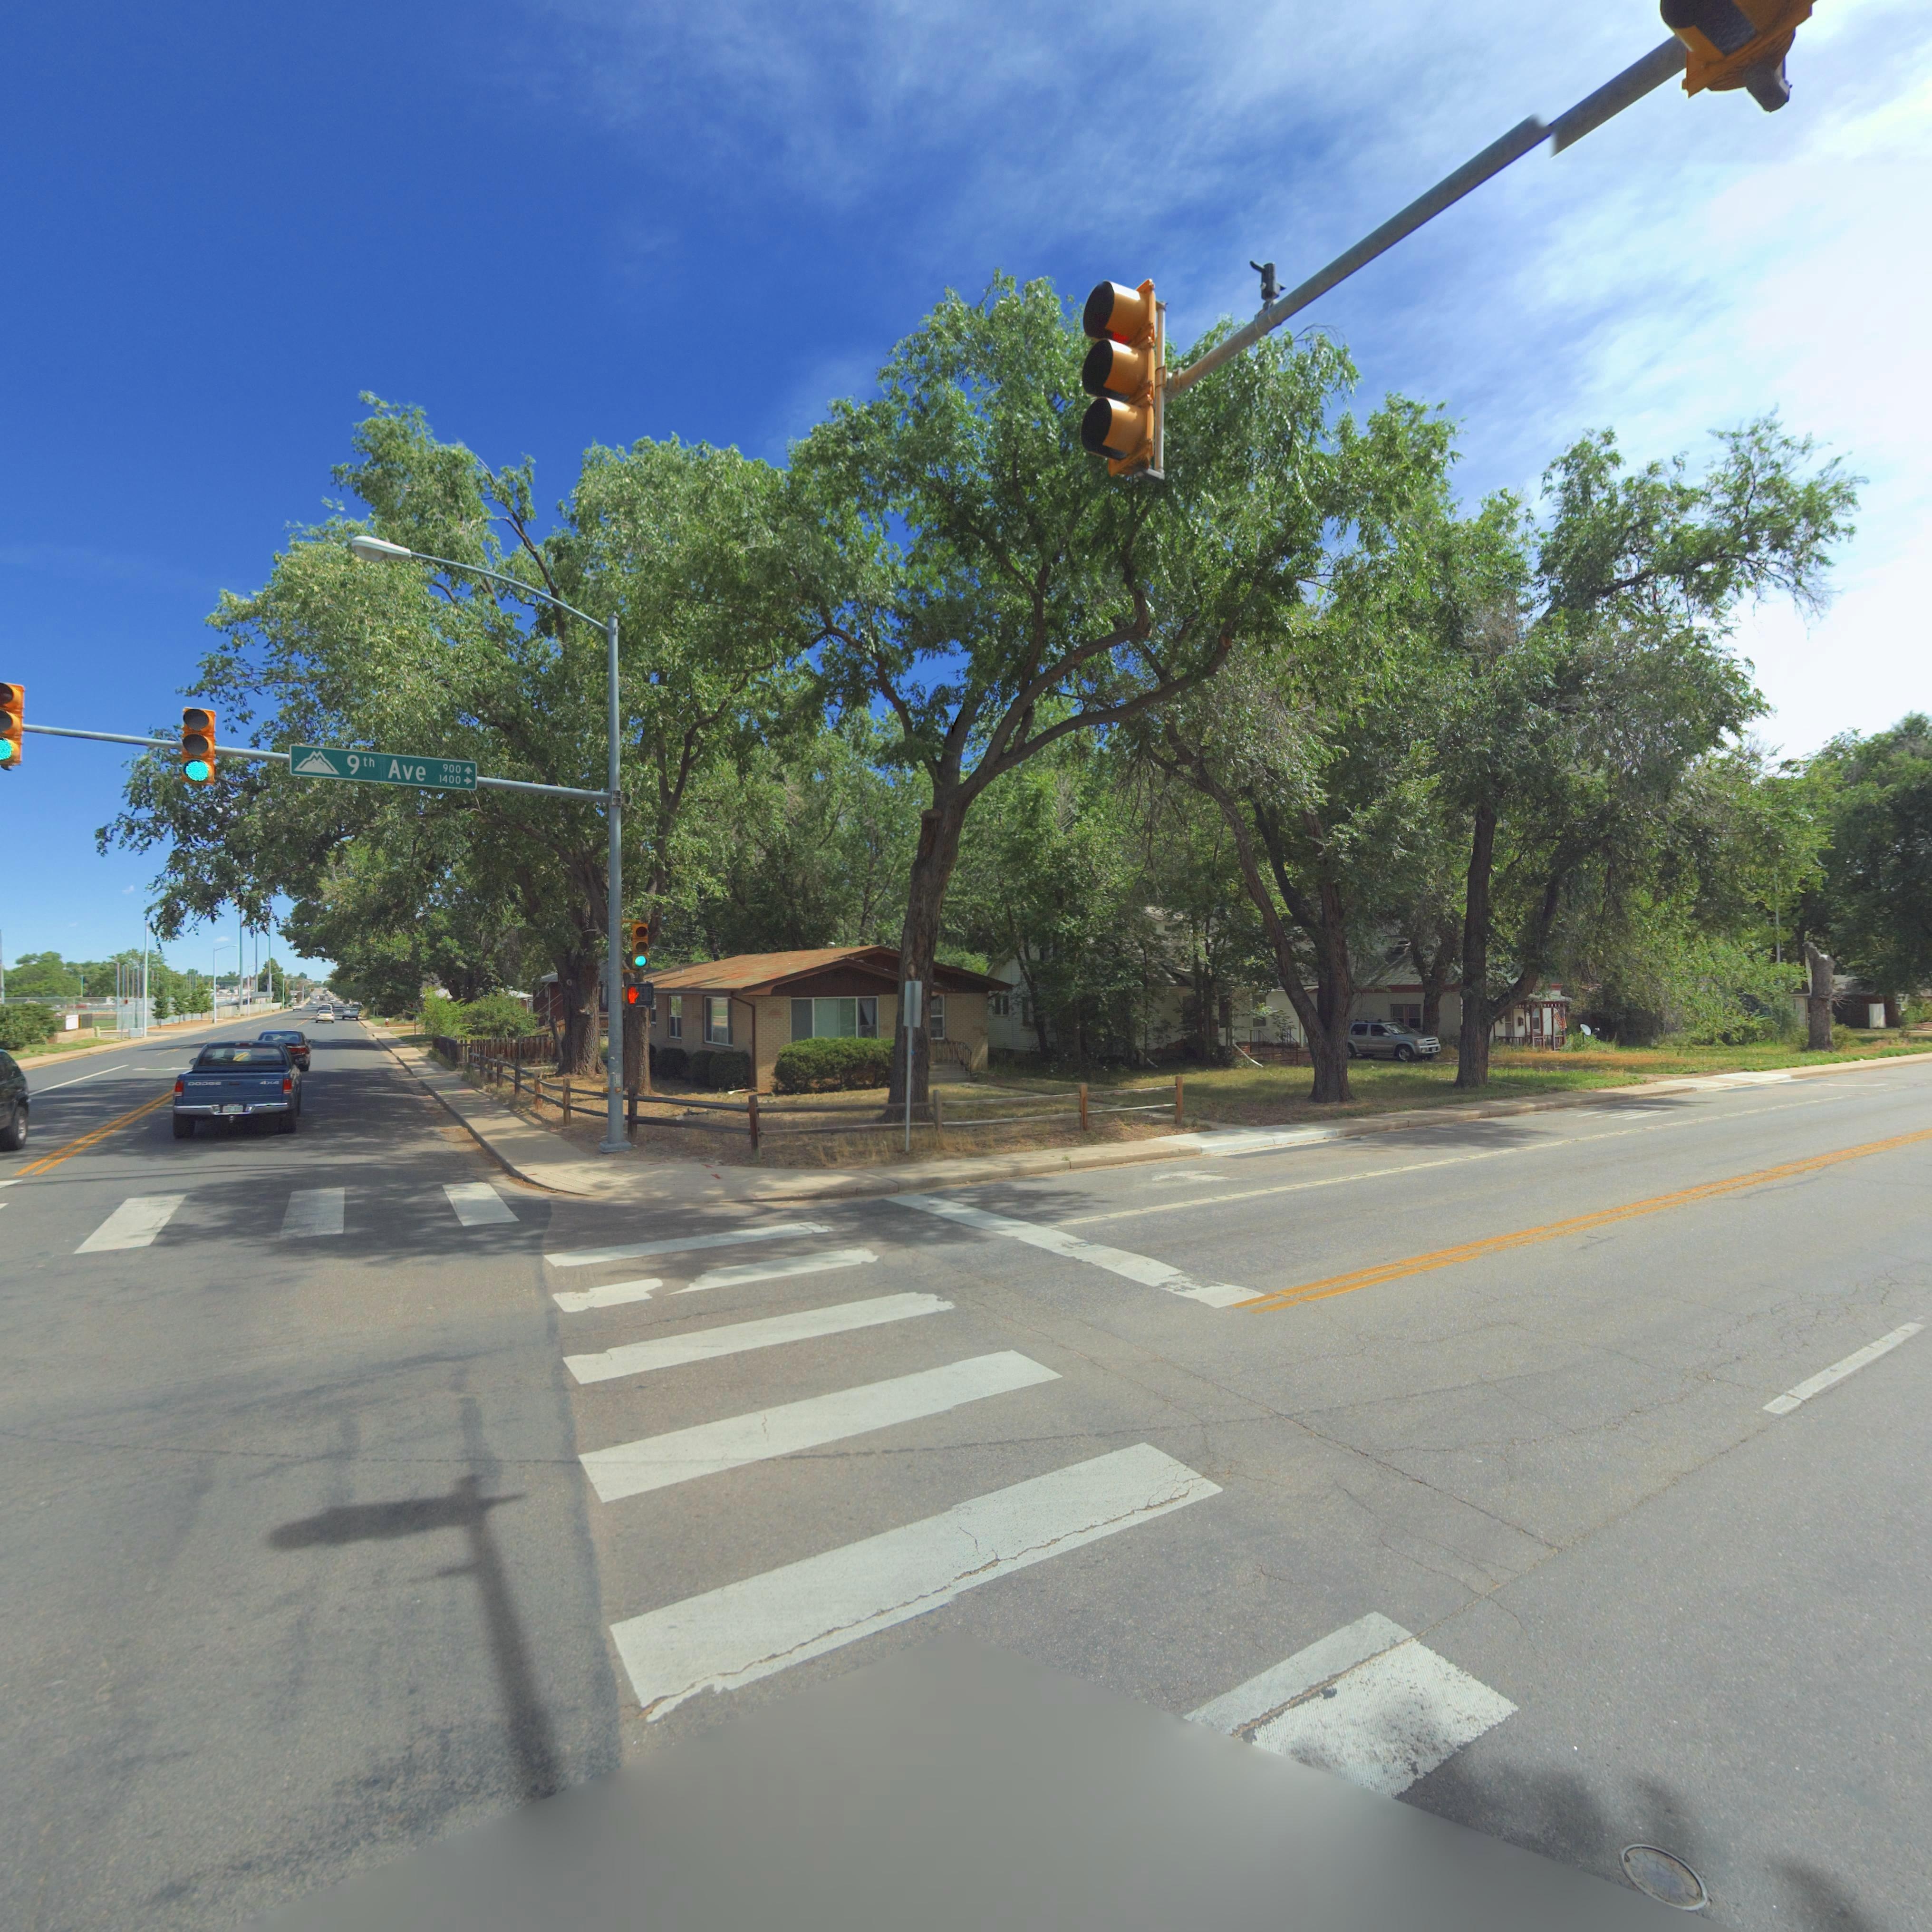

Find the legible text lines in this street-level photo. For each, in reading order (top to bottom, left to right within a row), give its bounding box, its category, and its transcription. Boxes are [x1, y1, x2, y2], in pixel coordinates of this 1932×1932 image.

[346, 753, 425, 782] StreetName: 9th Ave
[443, 763, 461, 773] StreetNumberRange: 900
[439, 773, 473, 785] StreetNumberRange: 1400 ->